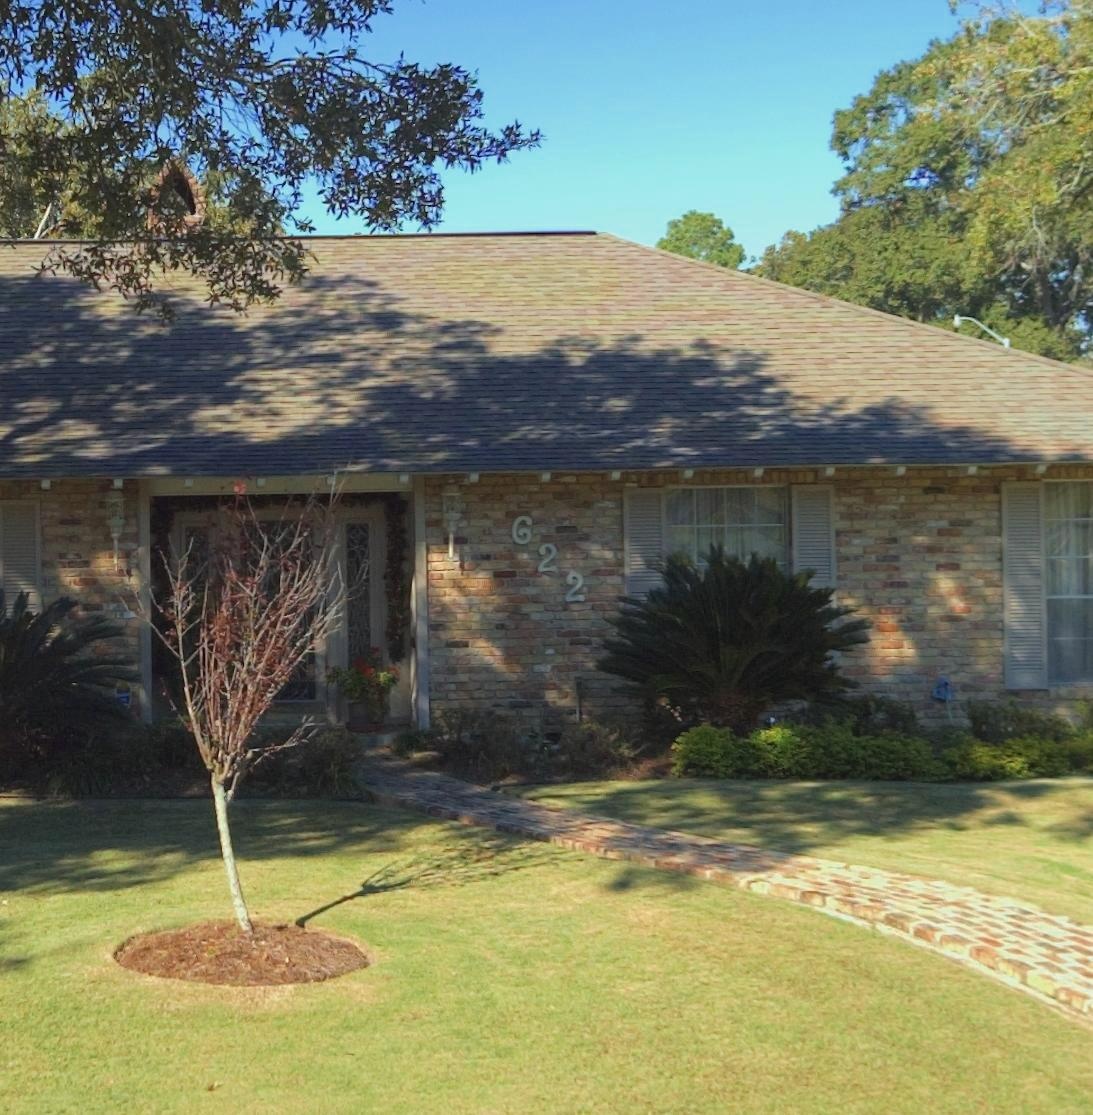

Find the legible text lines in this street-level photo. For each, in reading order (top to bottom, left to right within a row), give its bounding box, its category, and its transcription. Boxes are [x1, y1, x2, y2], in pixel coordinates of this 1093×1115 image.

[509, 513, 589, 605] StreetNumber: 622